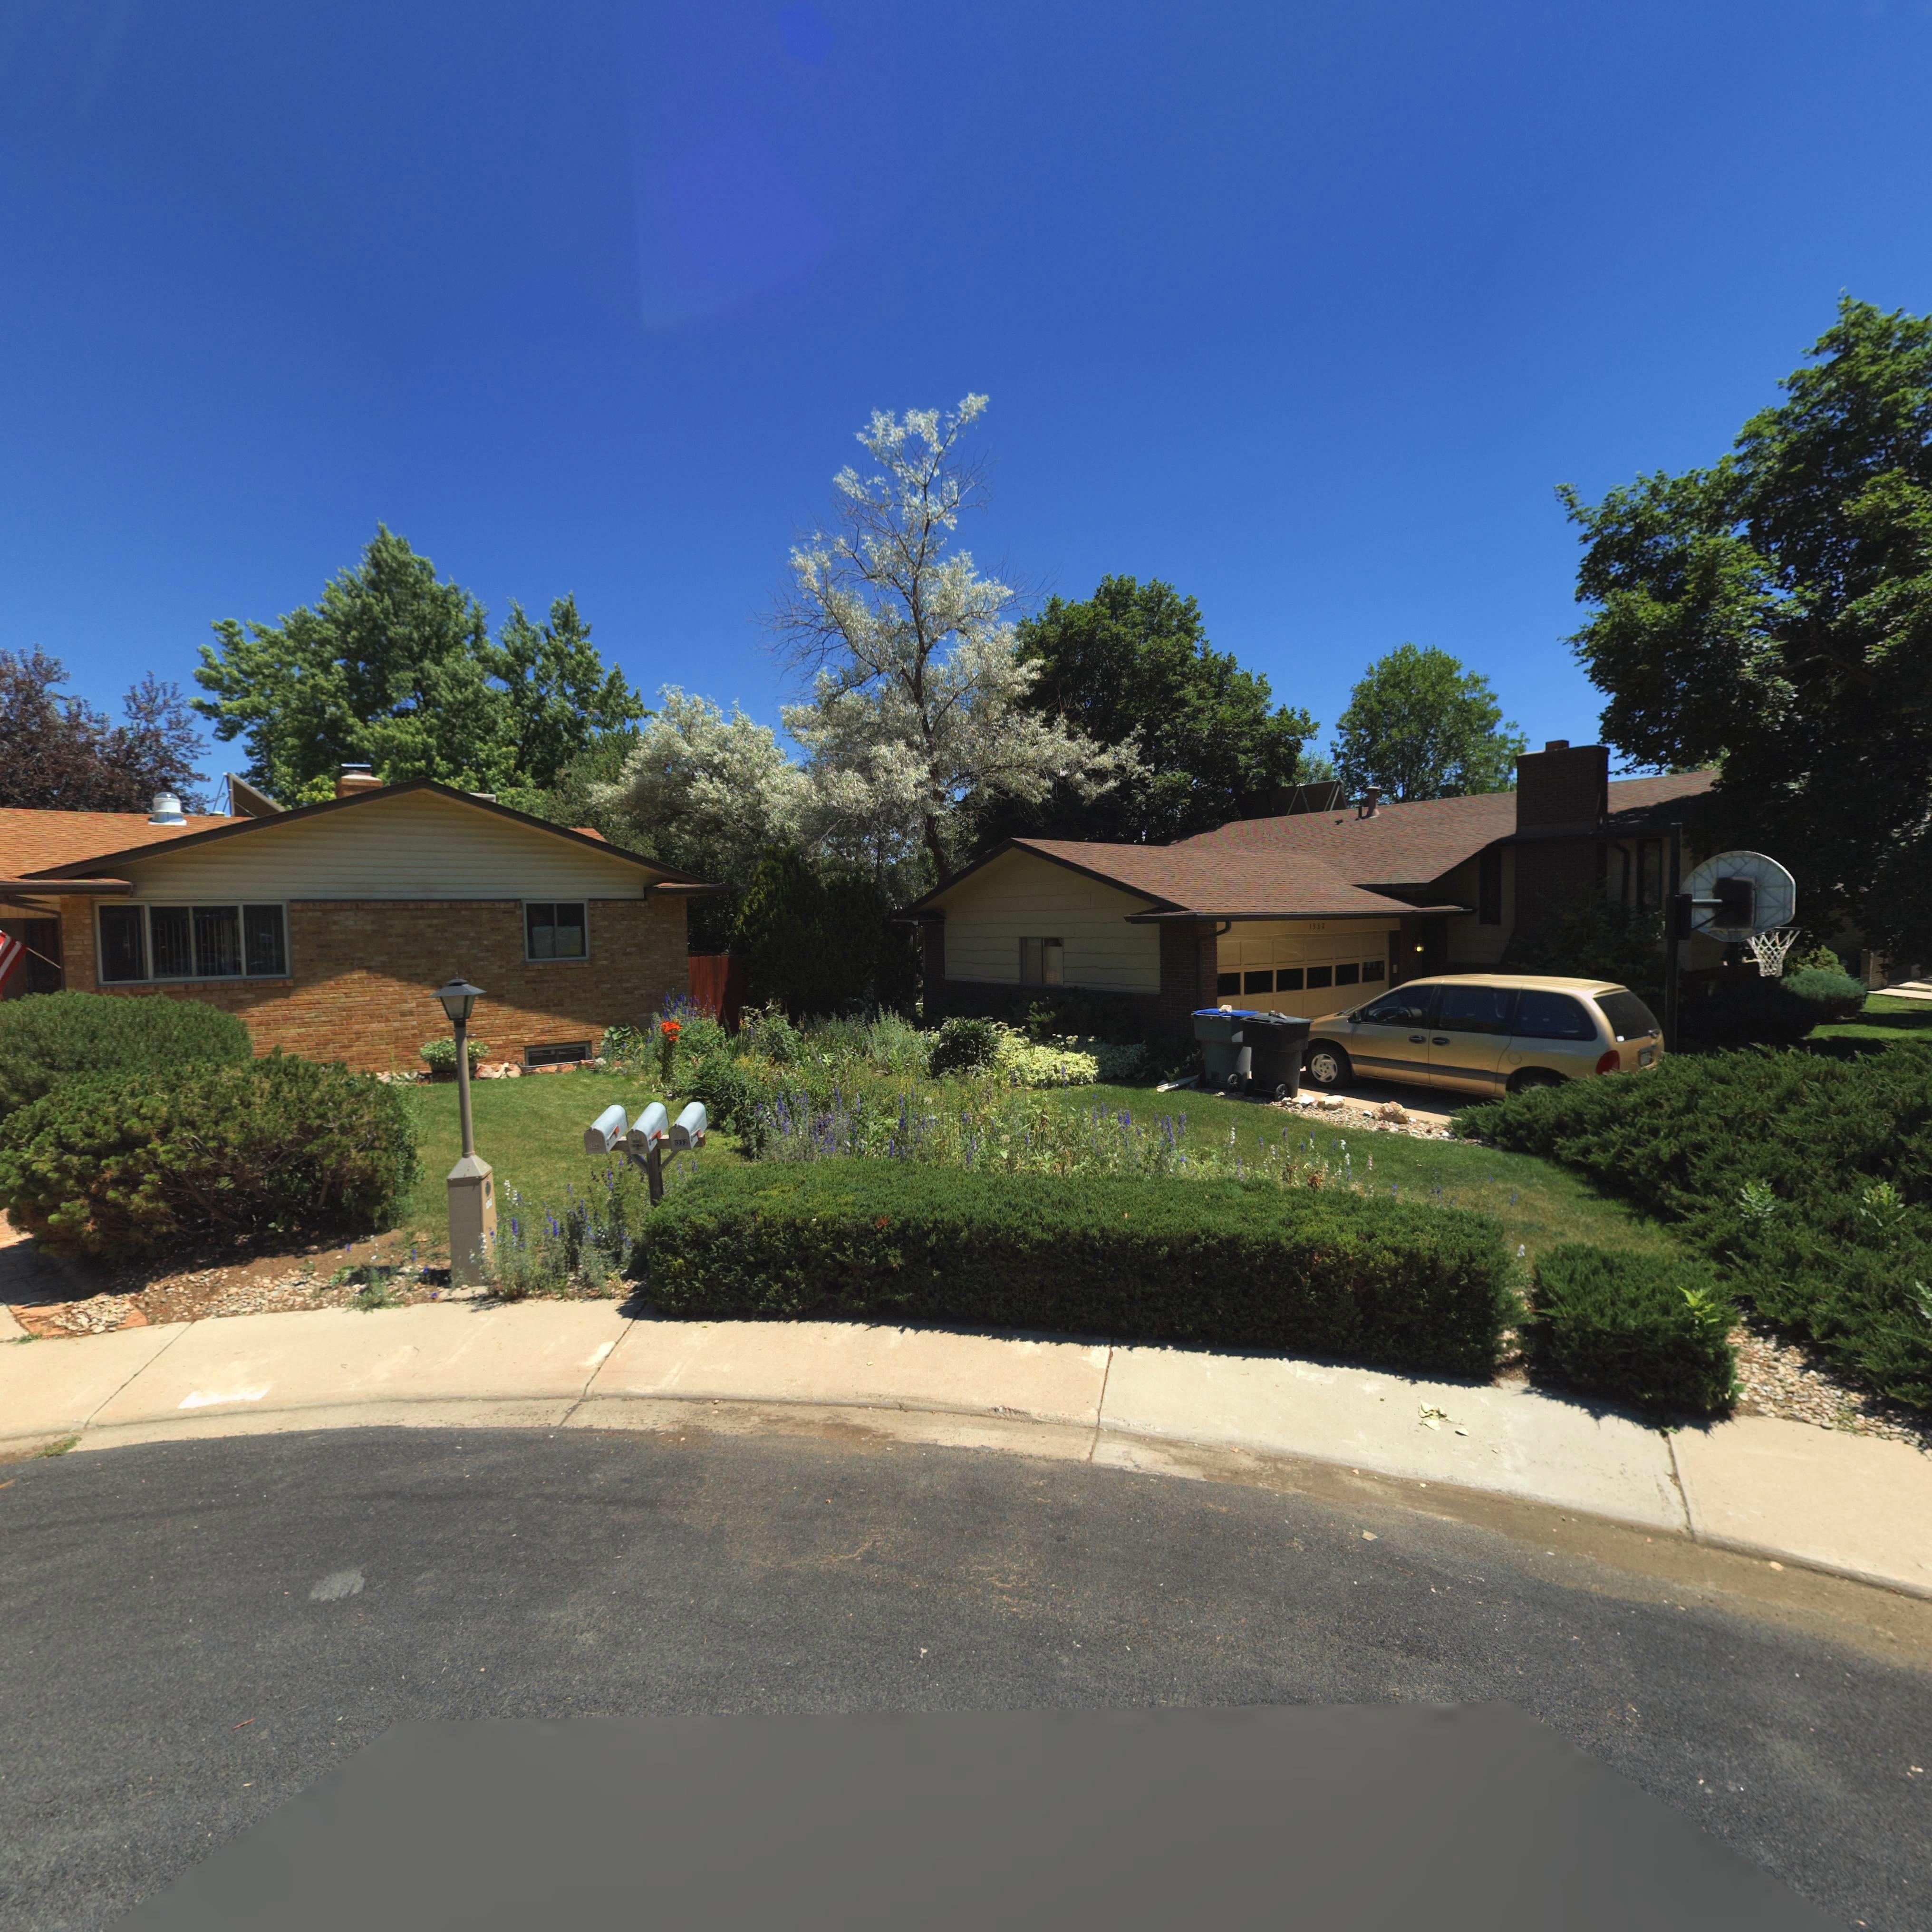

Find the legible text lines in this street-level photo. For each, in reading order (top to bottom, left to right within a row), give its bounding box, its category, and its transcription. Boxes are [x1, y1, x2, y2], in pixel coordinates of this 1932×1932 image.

[1309, 922, 1324, 929] StreetNumber: 1332
[674, 1140, 688, 1146] StreetNumber: 1332